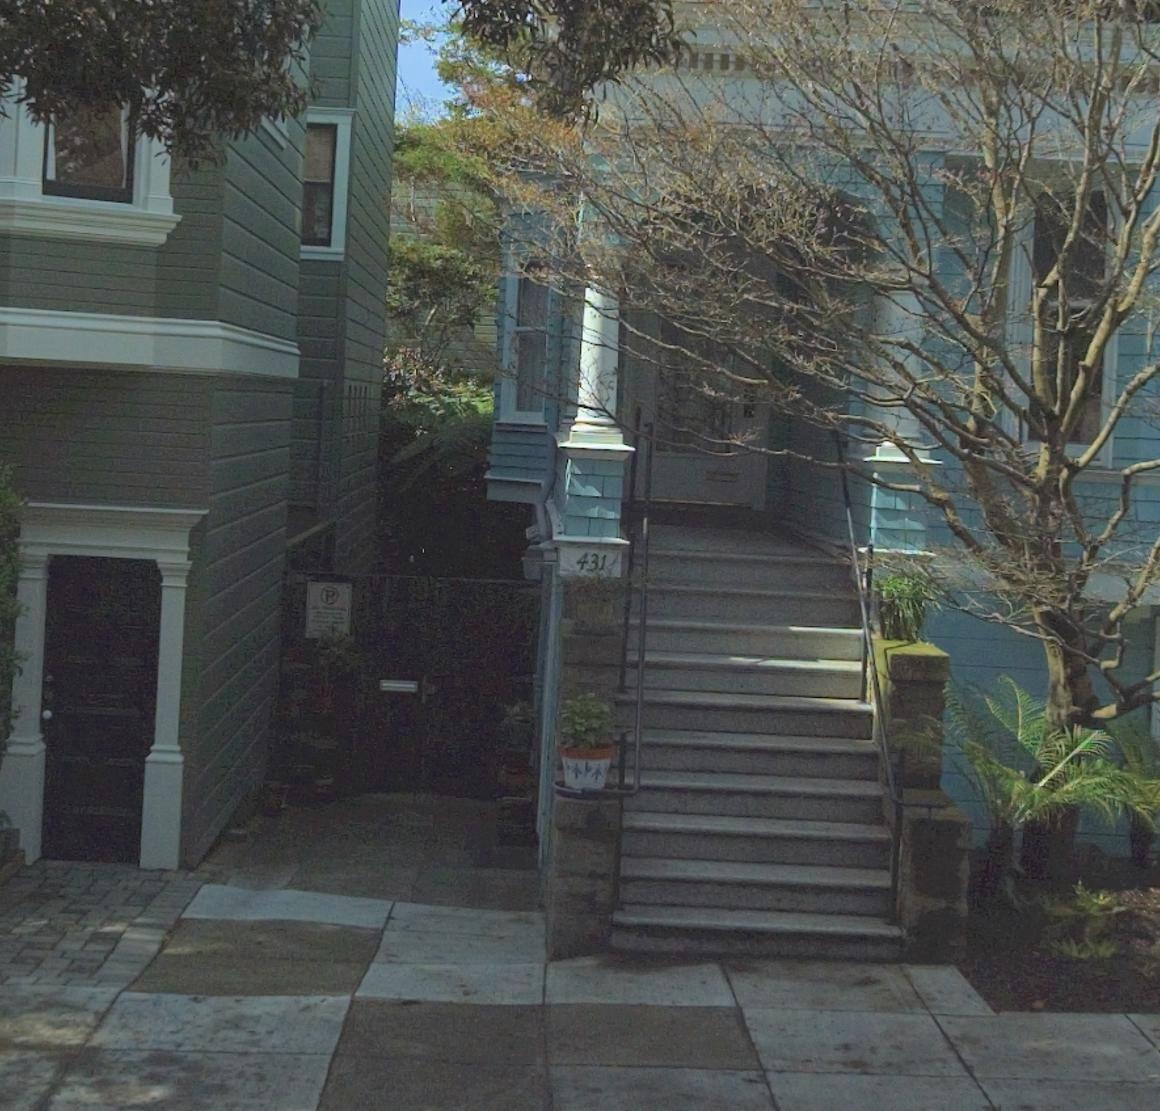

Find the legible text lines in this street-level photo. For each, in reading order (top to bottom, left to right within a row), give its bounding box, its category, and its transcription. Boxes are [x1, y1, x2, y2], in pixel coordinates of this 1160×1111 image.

[573, 550, 610, 573] StreetNumber: 431